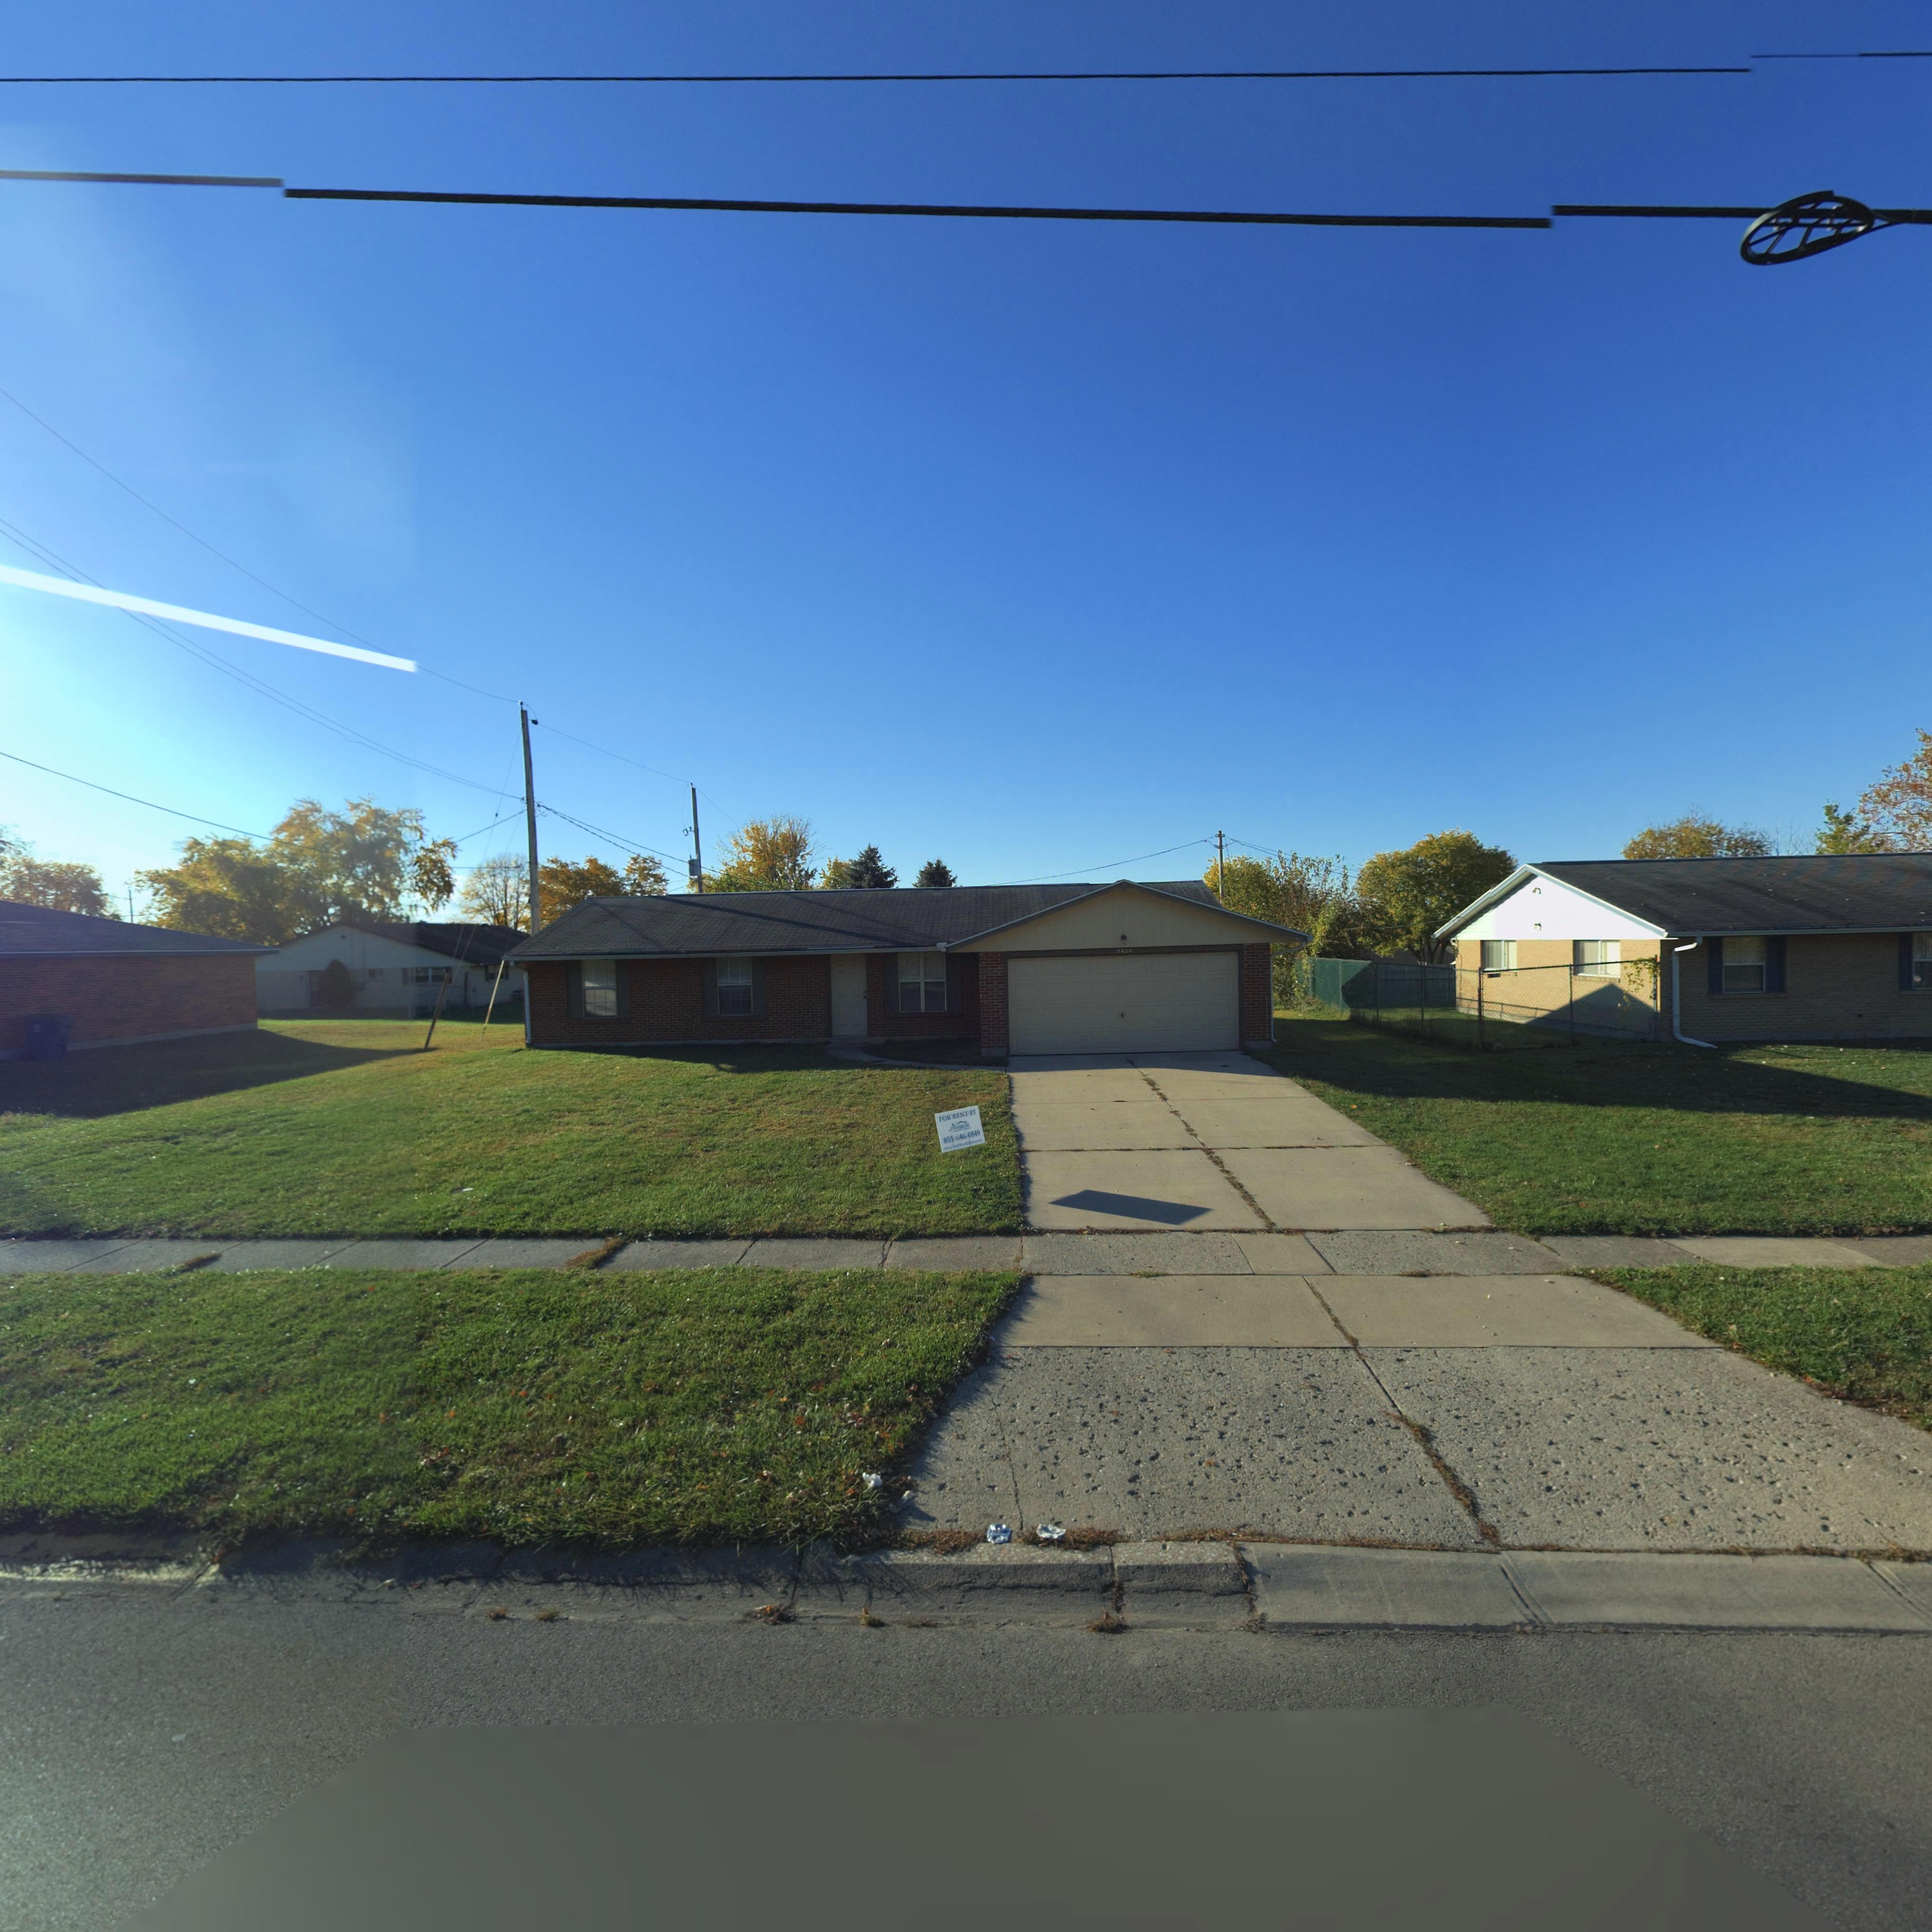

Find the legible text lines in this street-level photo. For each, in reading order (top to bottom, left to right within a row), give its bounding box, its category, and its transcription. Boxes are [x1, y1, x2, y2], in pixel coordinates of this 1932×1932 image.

[1115, 947, 1134, 955] StreetNumber: 5680